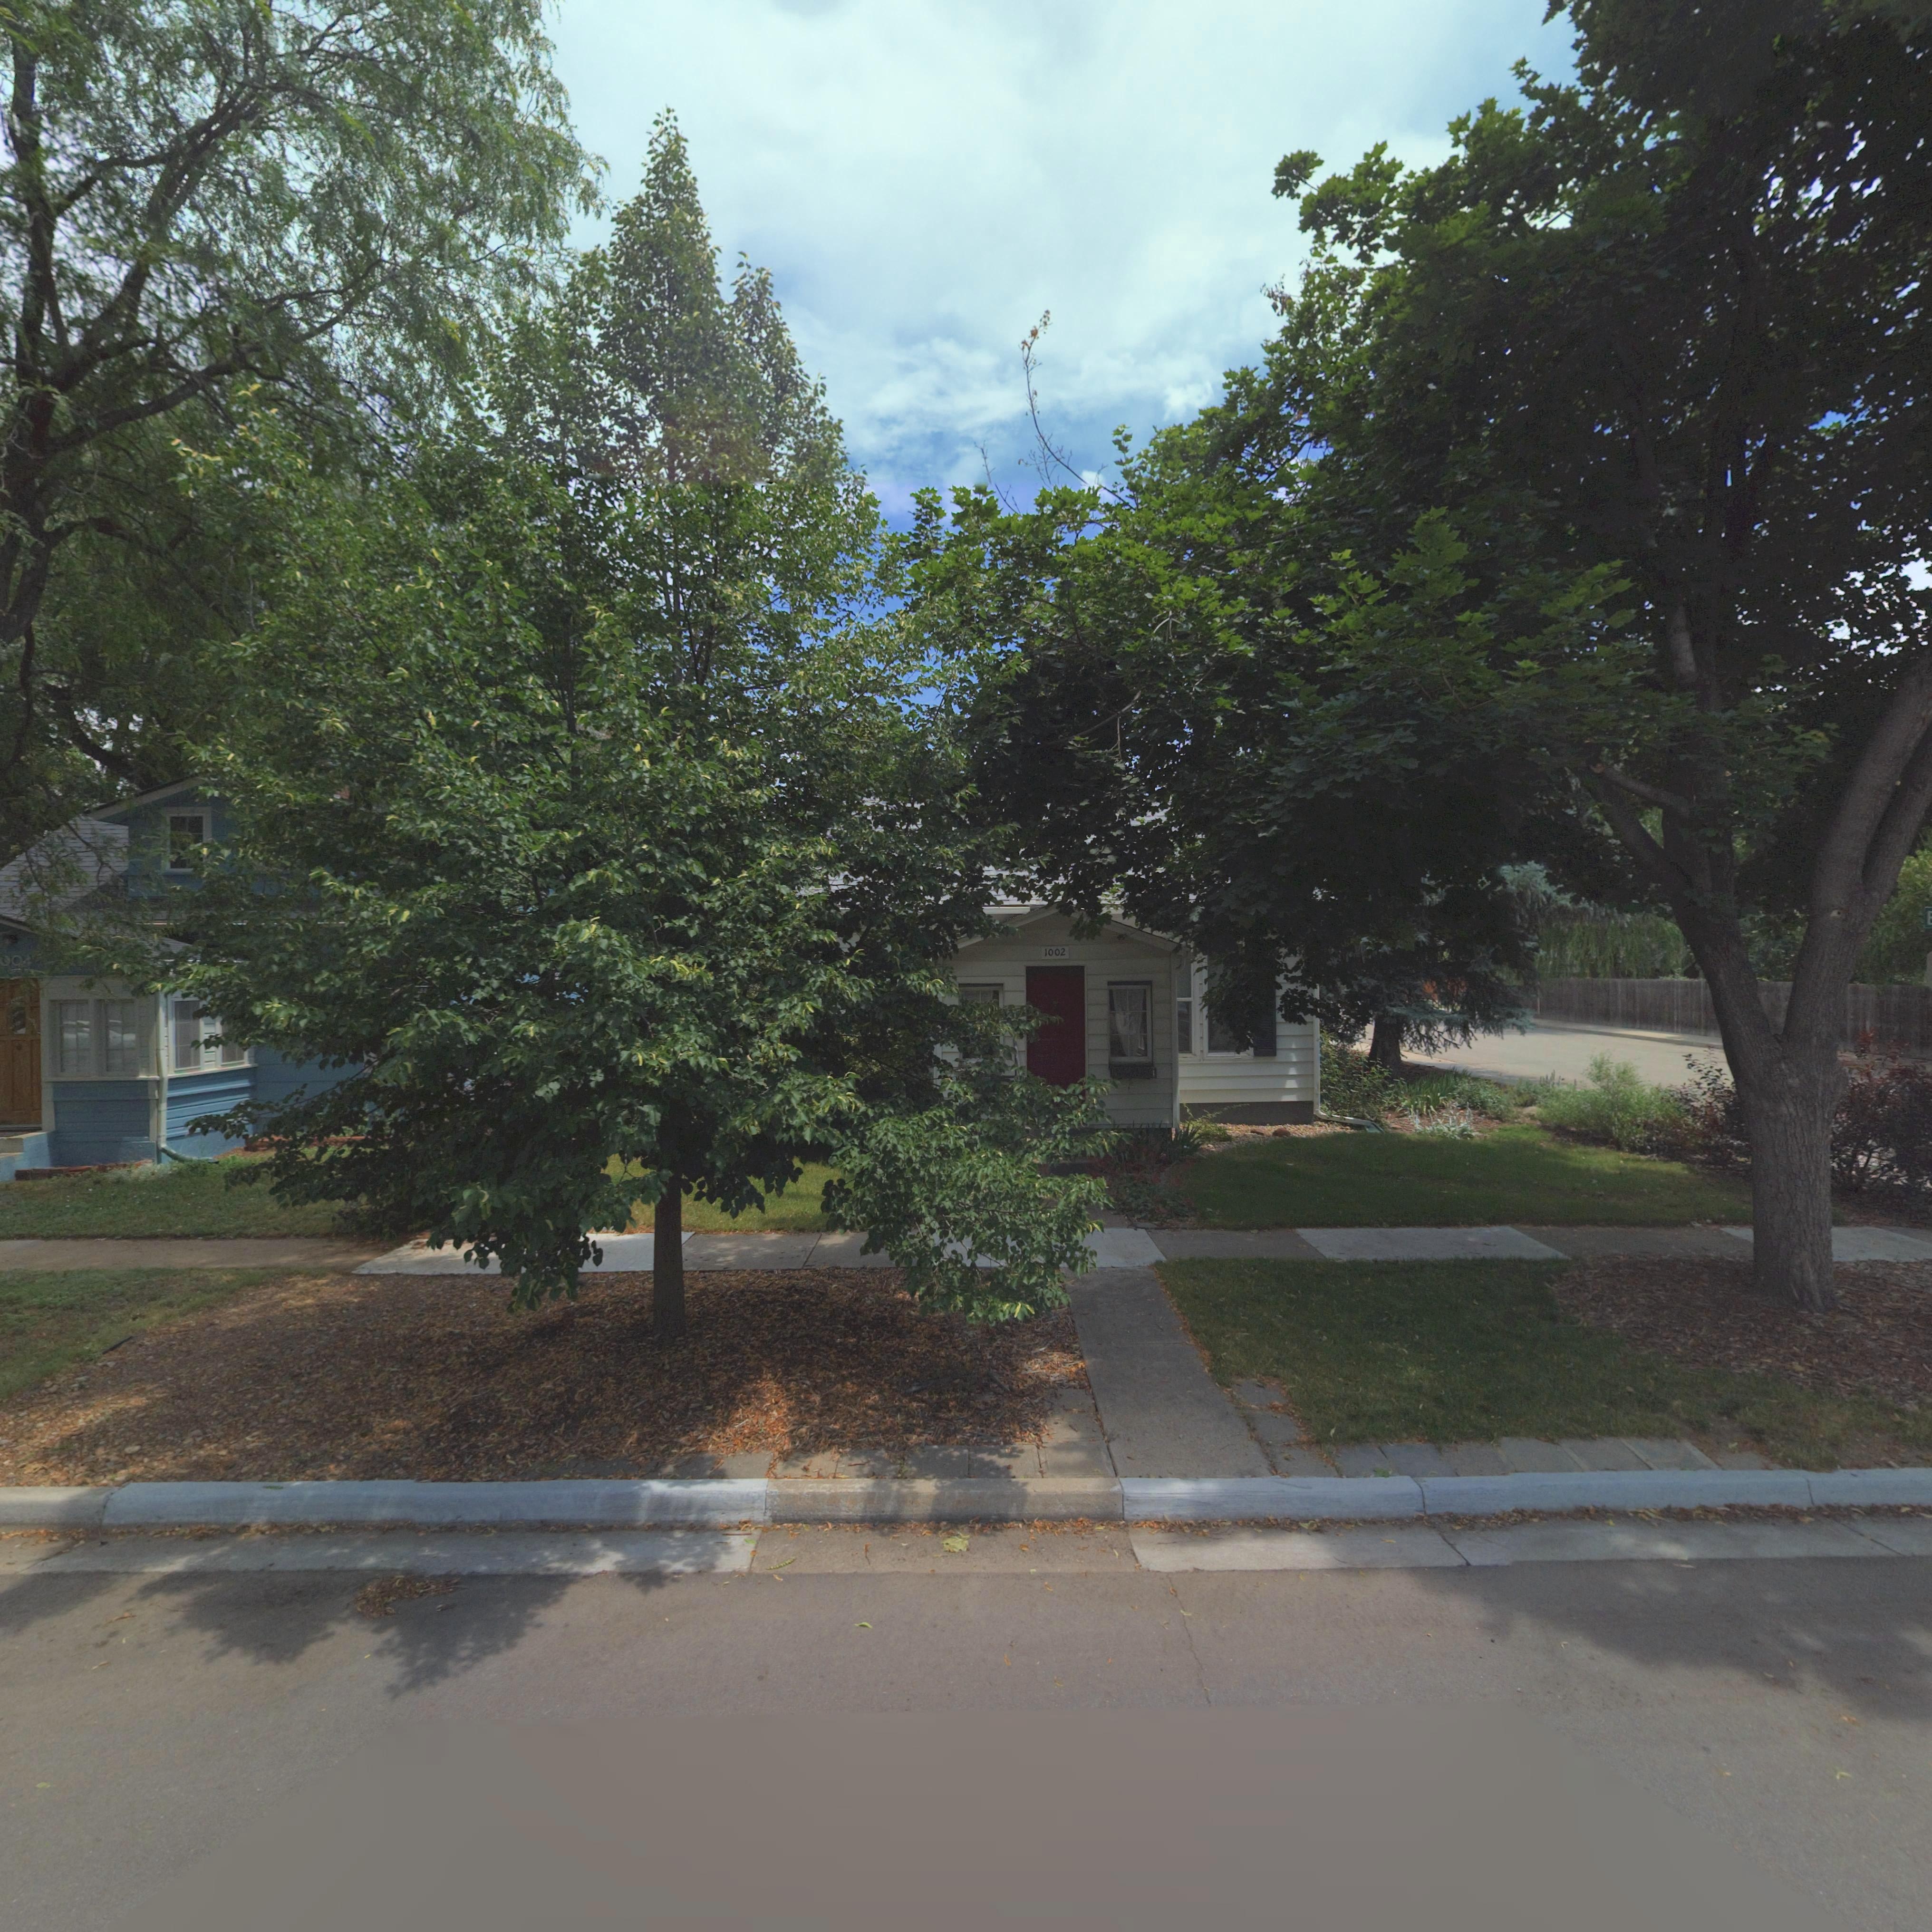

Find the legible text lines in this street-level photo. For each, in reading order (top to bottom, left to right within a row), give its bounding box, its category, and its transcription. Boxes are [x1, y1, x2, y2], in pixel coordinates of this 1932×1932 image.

[1043, 947, 1066, 956] StreetNumber: 1002
[11, 953, 34, 966] StreetNumber: 04